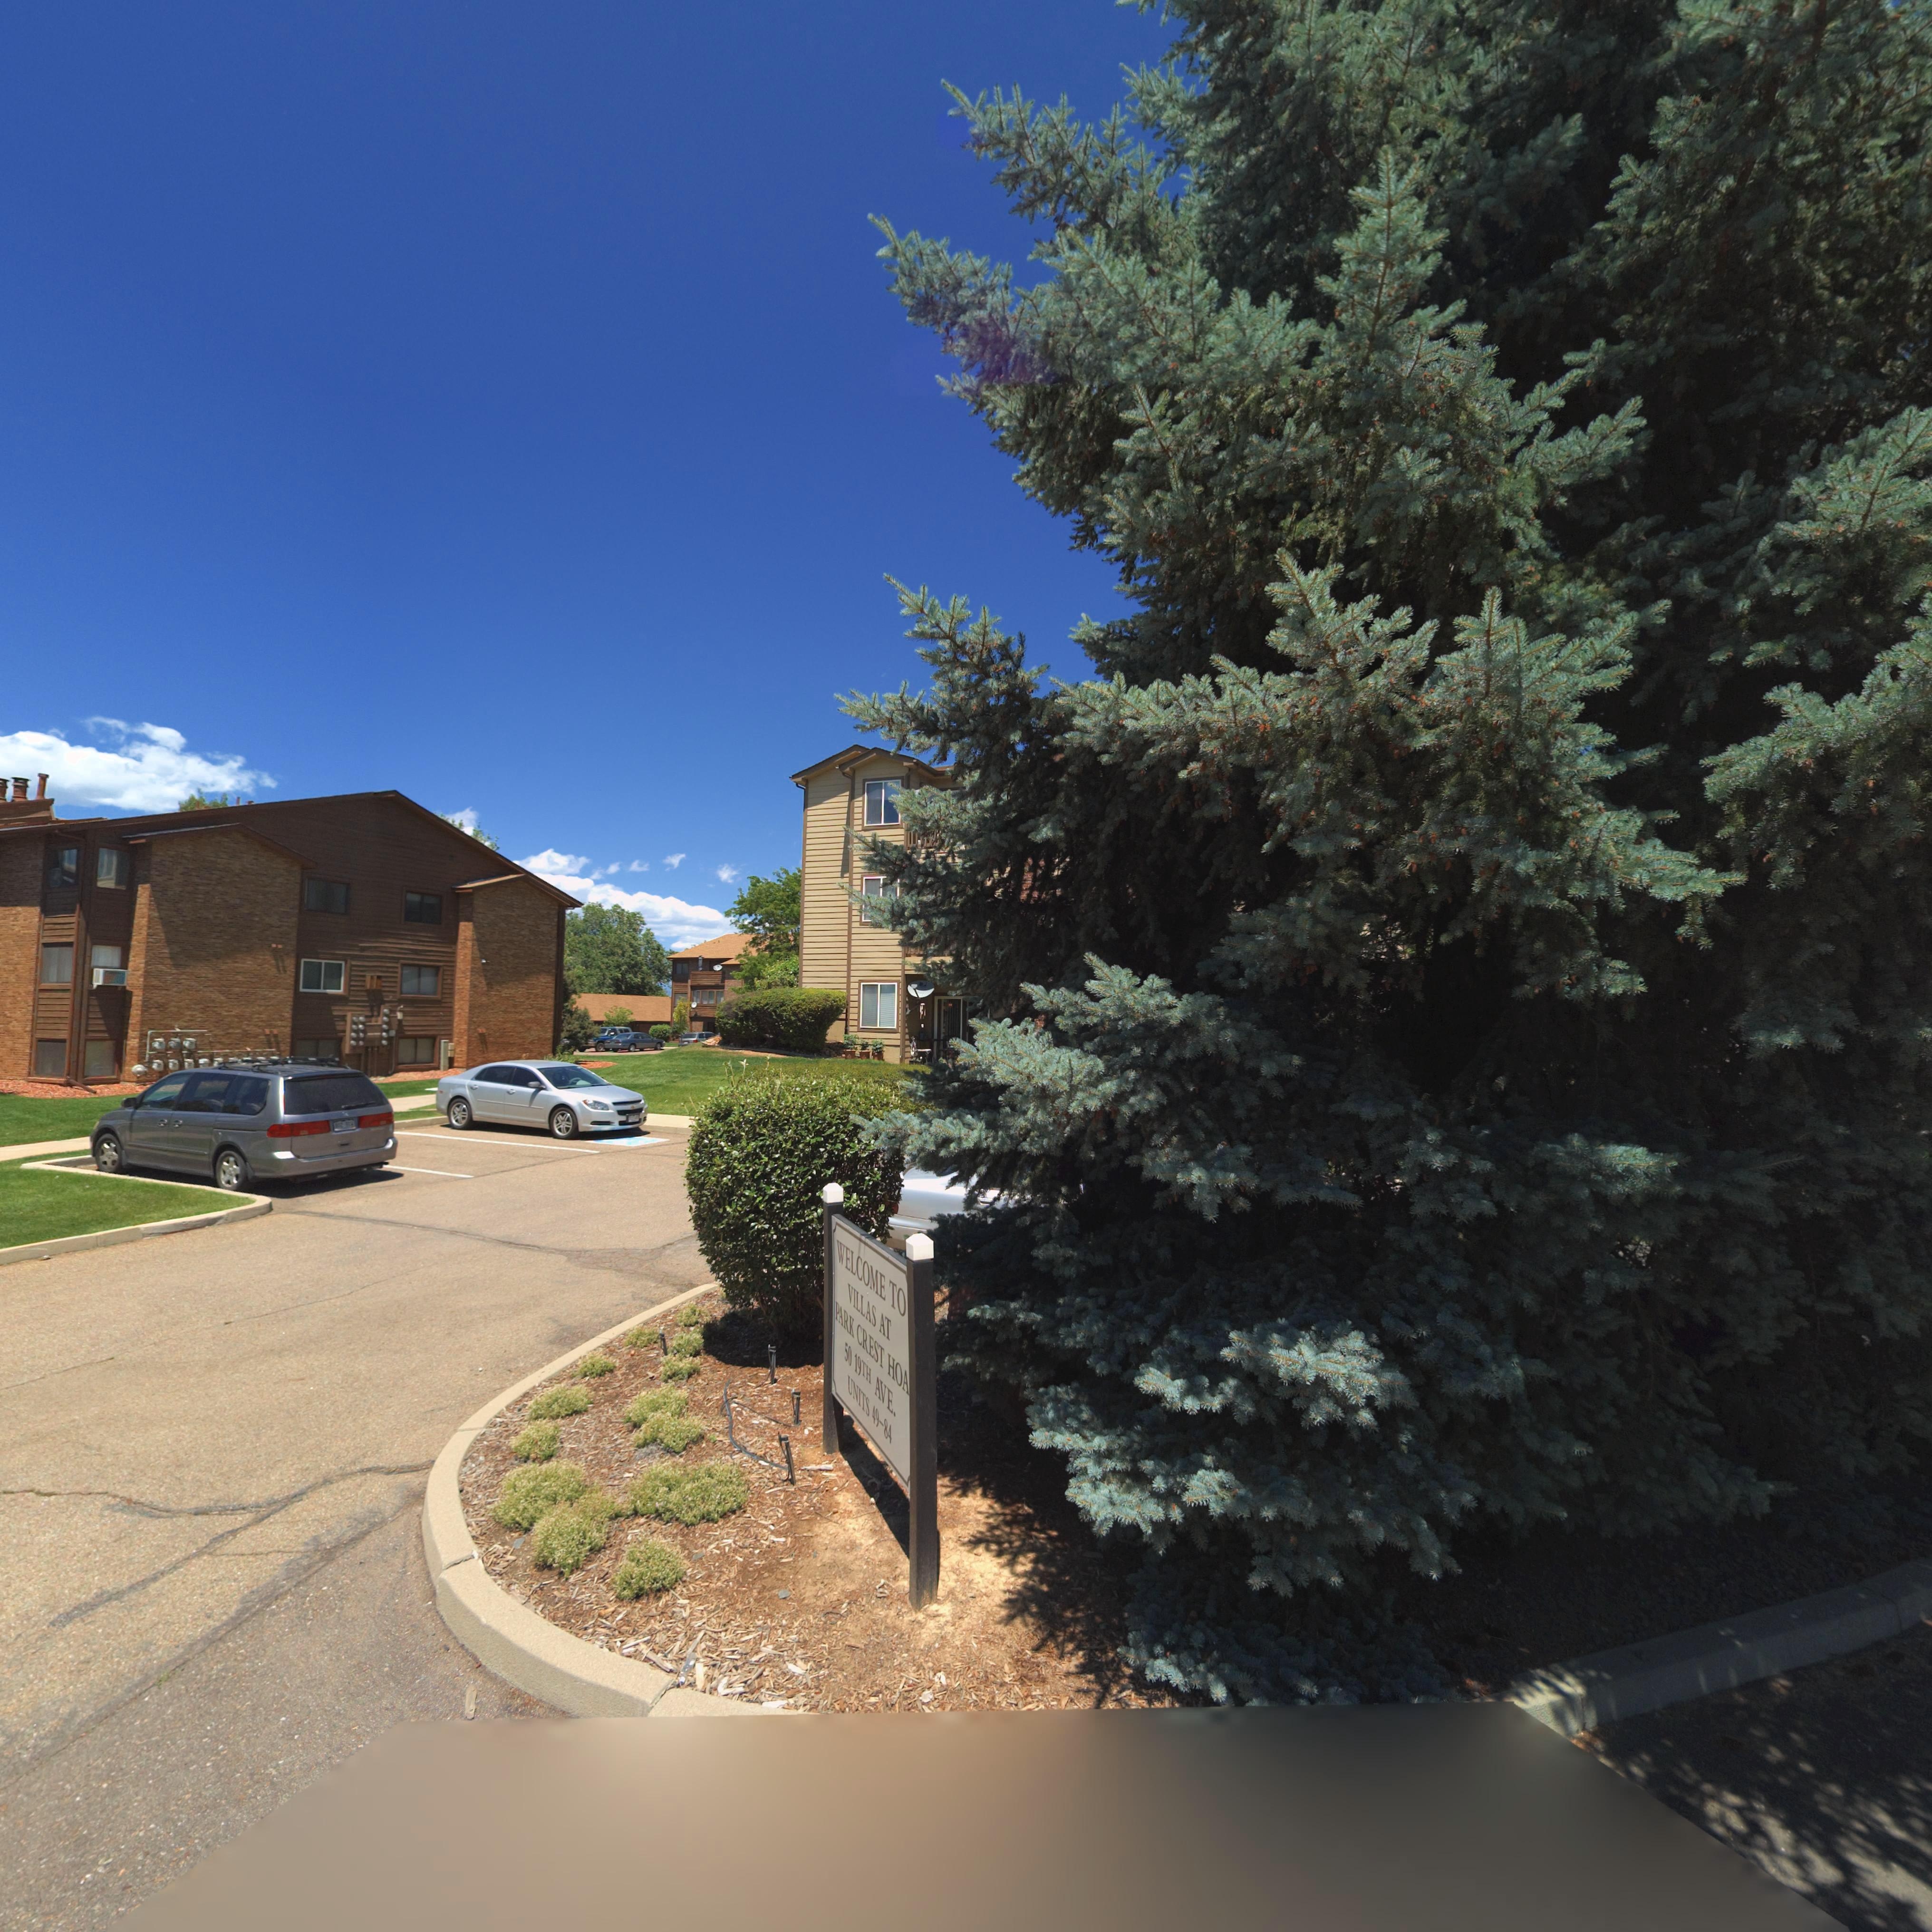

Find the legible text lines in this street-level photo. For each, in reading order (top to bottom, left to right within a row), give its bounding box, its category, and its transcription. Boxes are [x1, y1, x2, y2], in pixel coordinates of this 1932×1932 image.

[844, 1341, 852, 1368] StreetNumber: 50
[848, 1374, 893, 1447] SecondaryUnitDesignator: UNITS 49-84
[853, 1352, 896, 1418] StreetName: 19TH AVE.